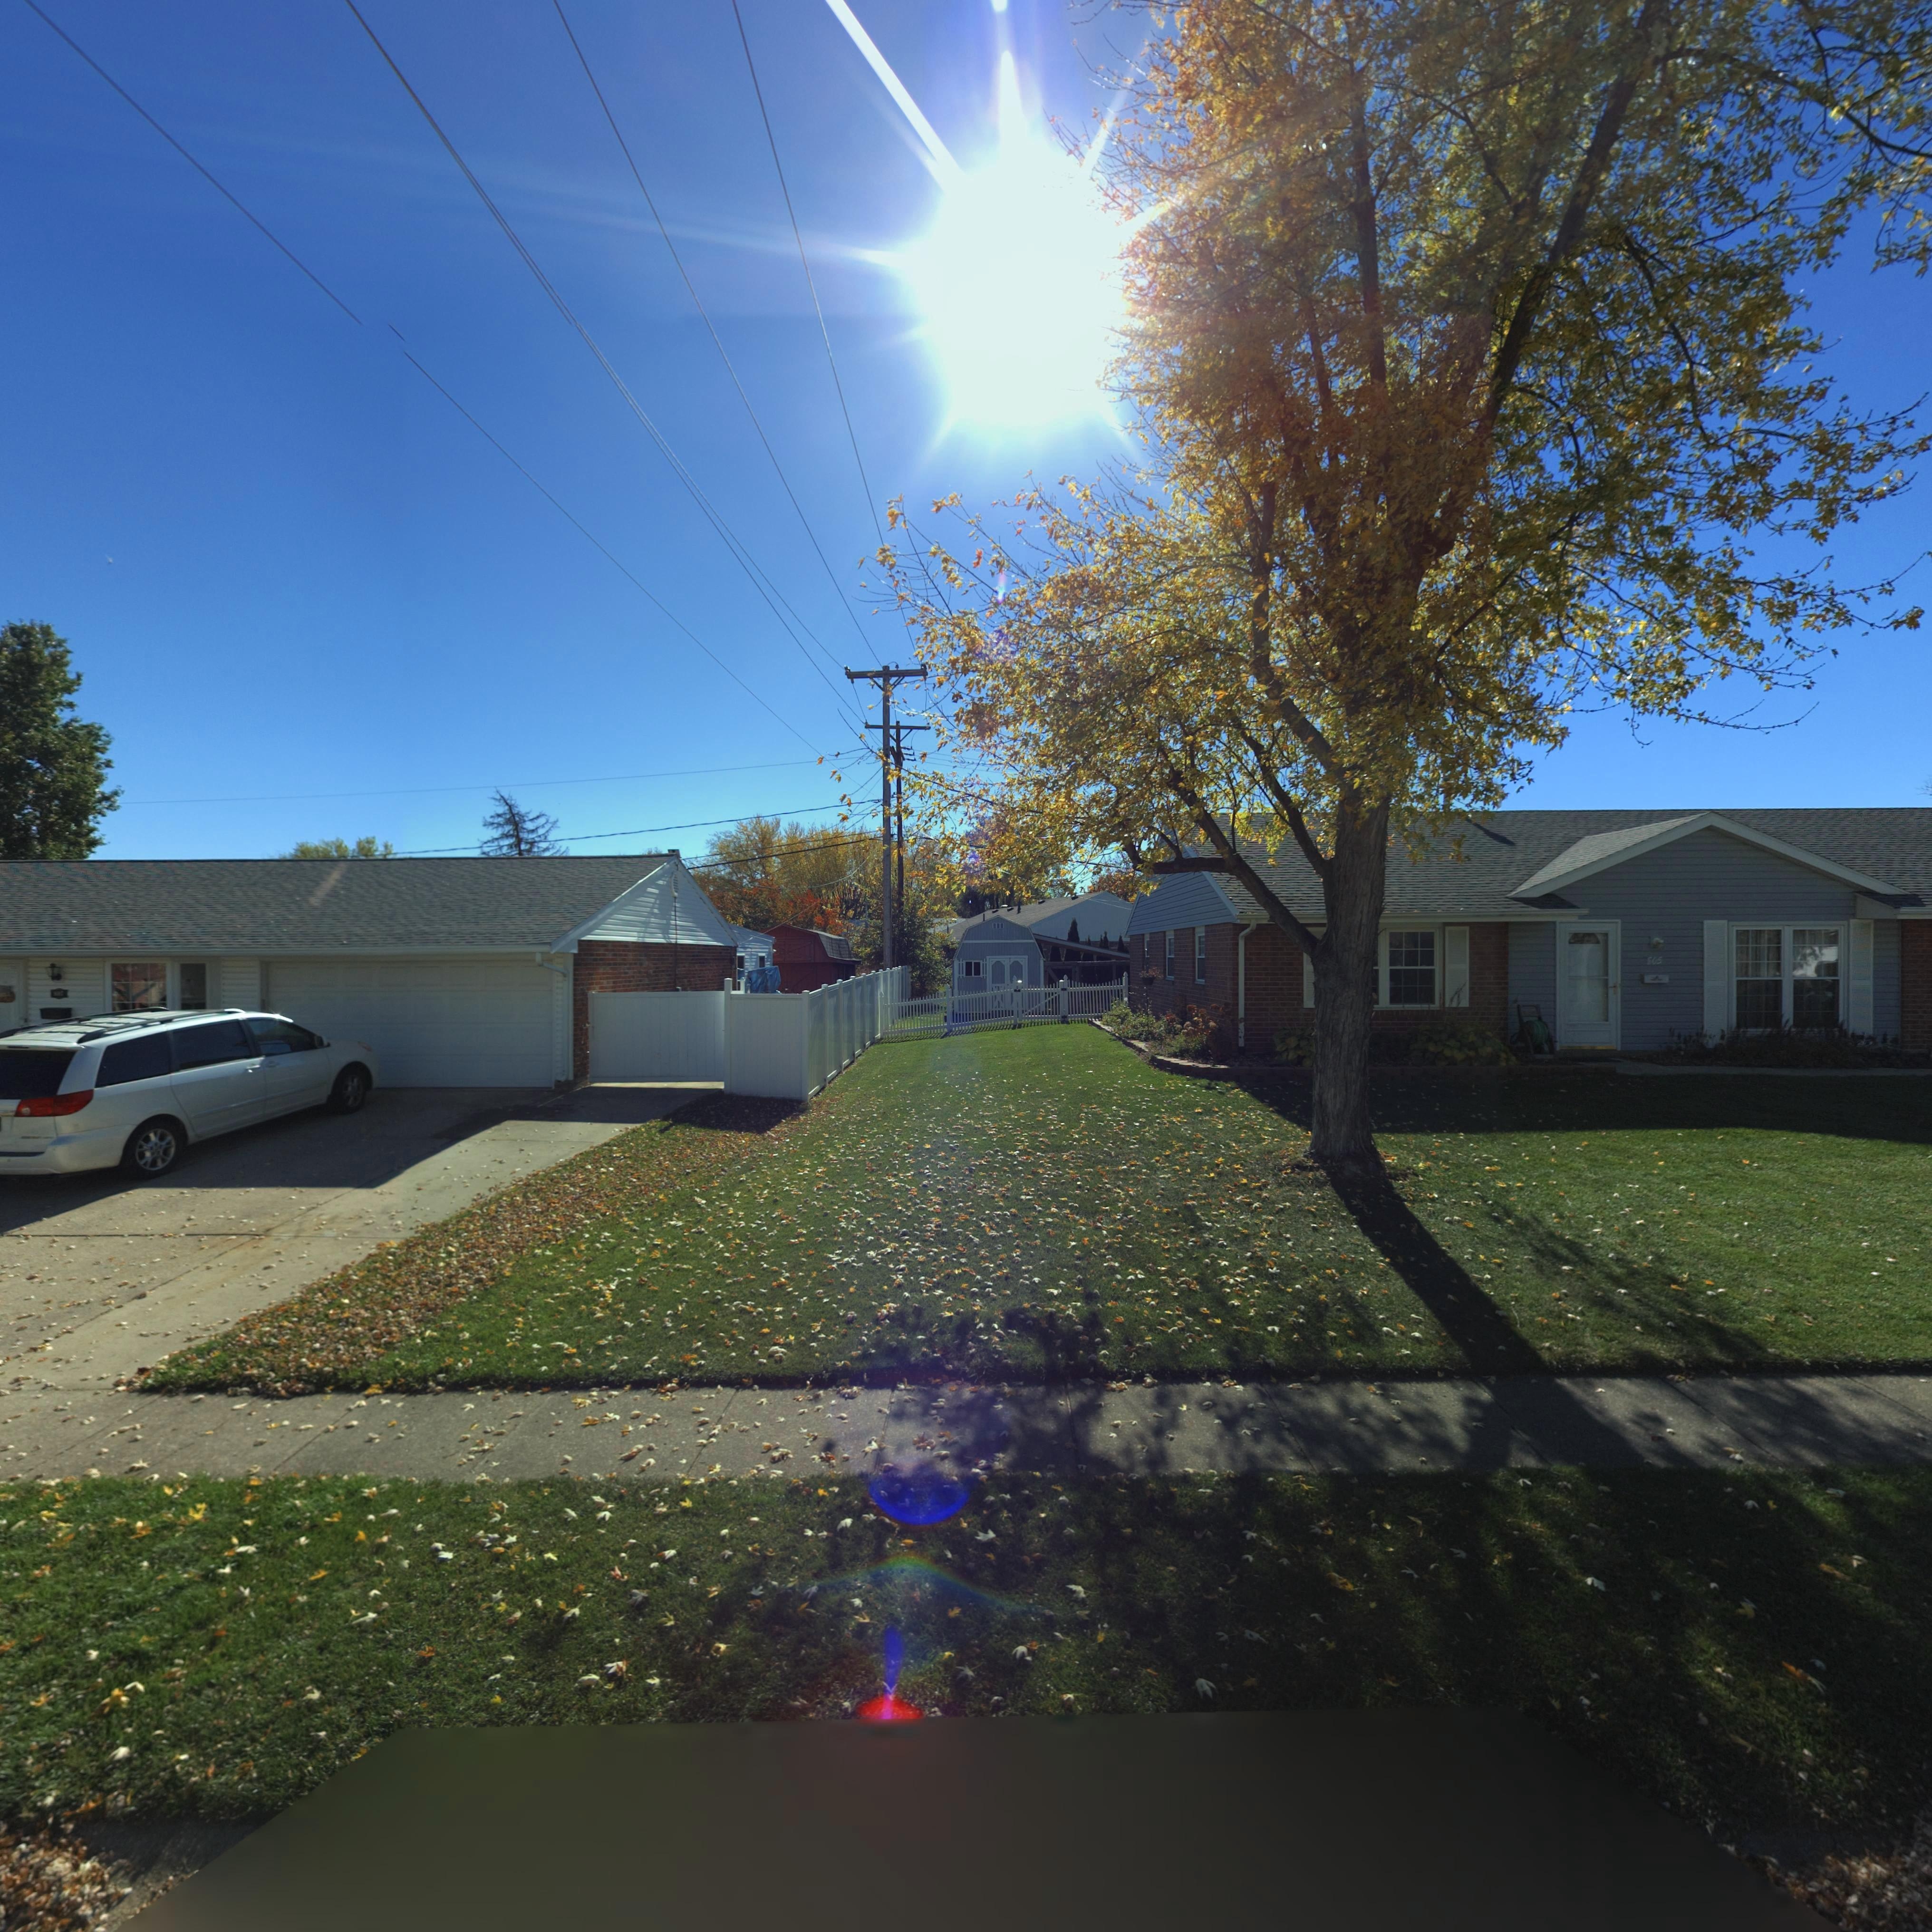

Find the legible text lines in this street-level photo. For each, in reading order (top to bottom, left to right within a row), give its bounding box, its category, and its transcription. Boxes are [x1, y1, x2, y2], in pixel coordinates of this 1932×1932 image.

[1646, 956, 1663, 966] StreetNumber: 805
[53, 990, 63, 996] StreetNumber: 803